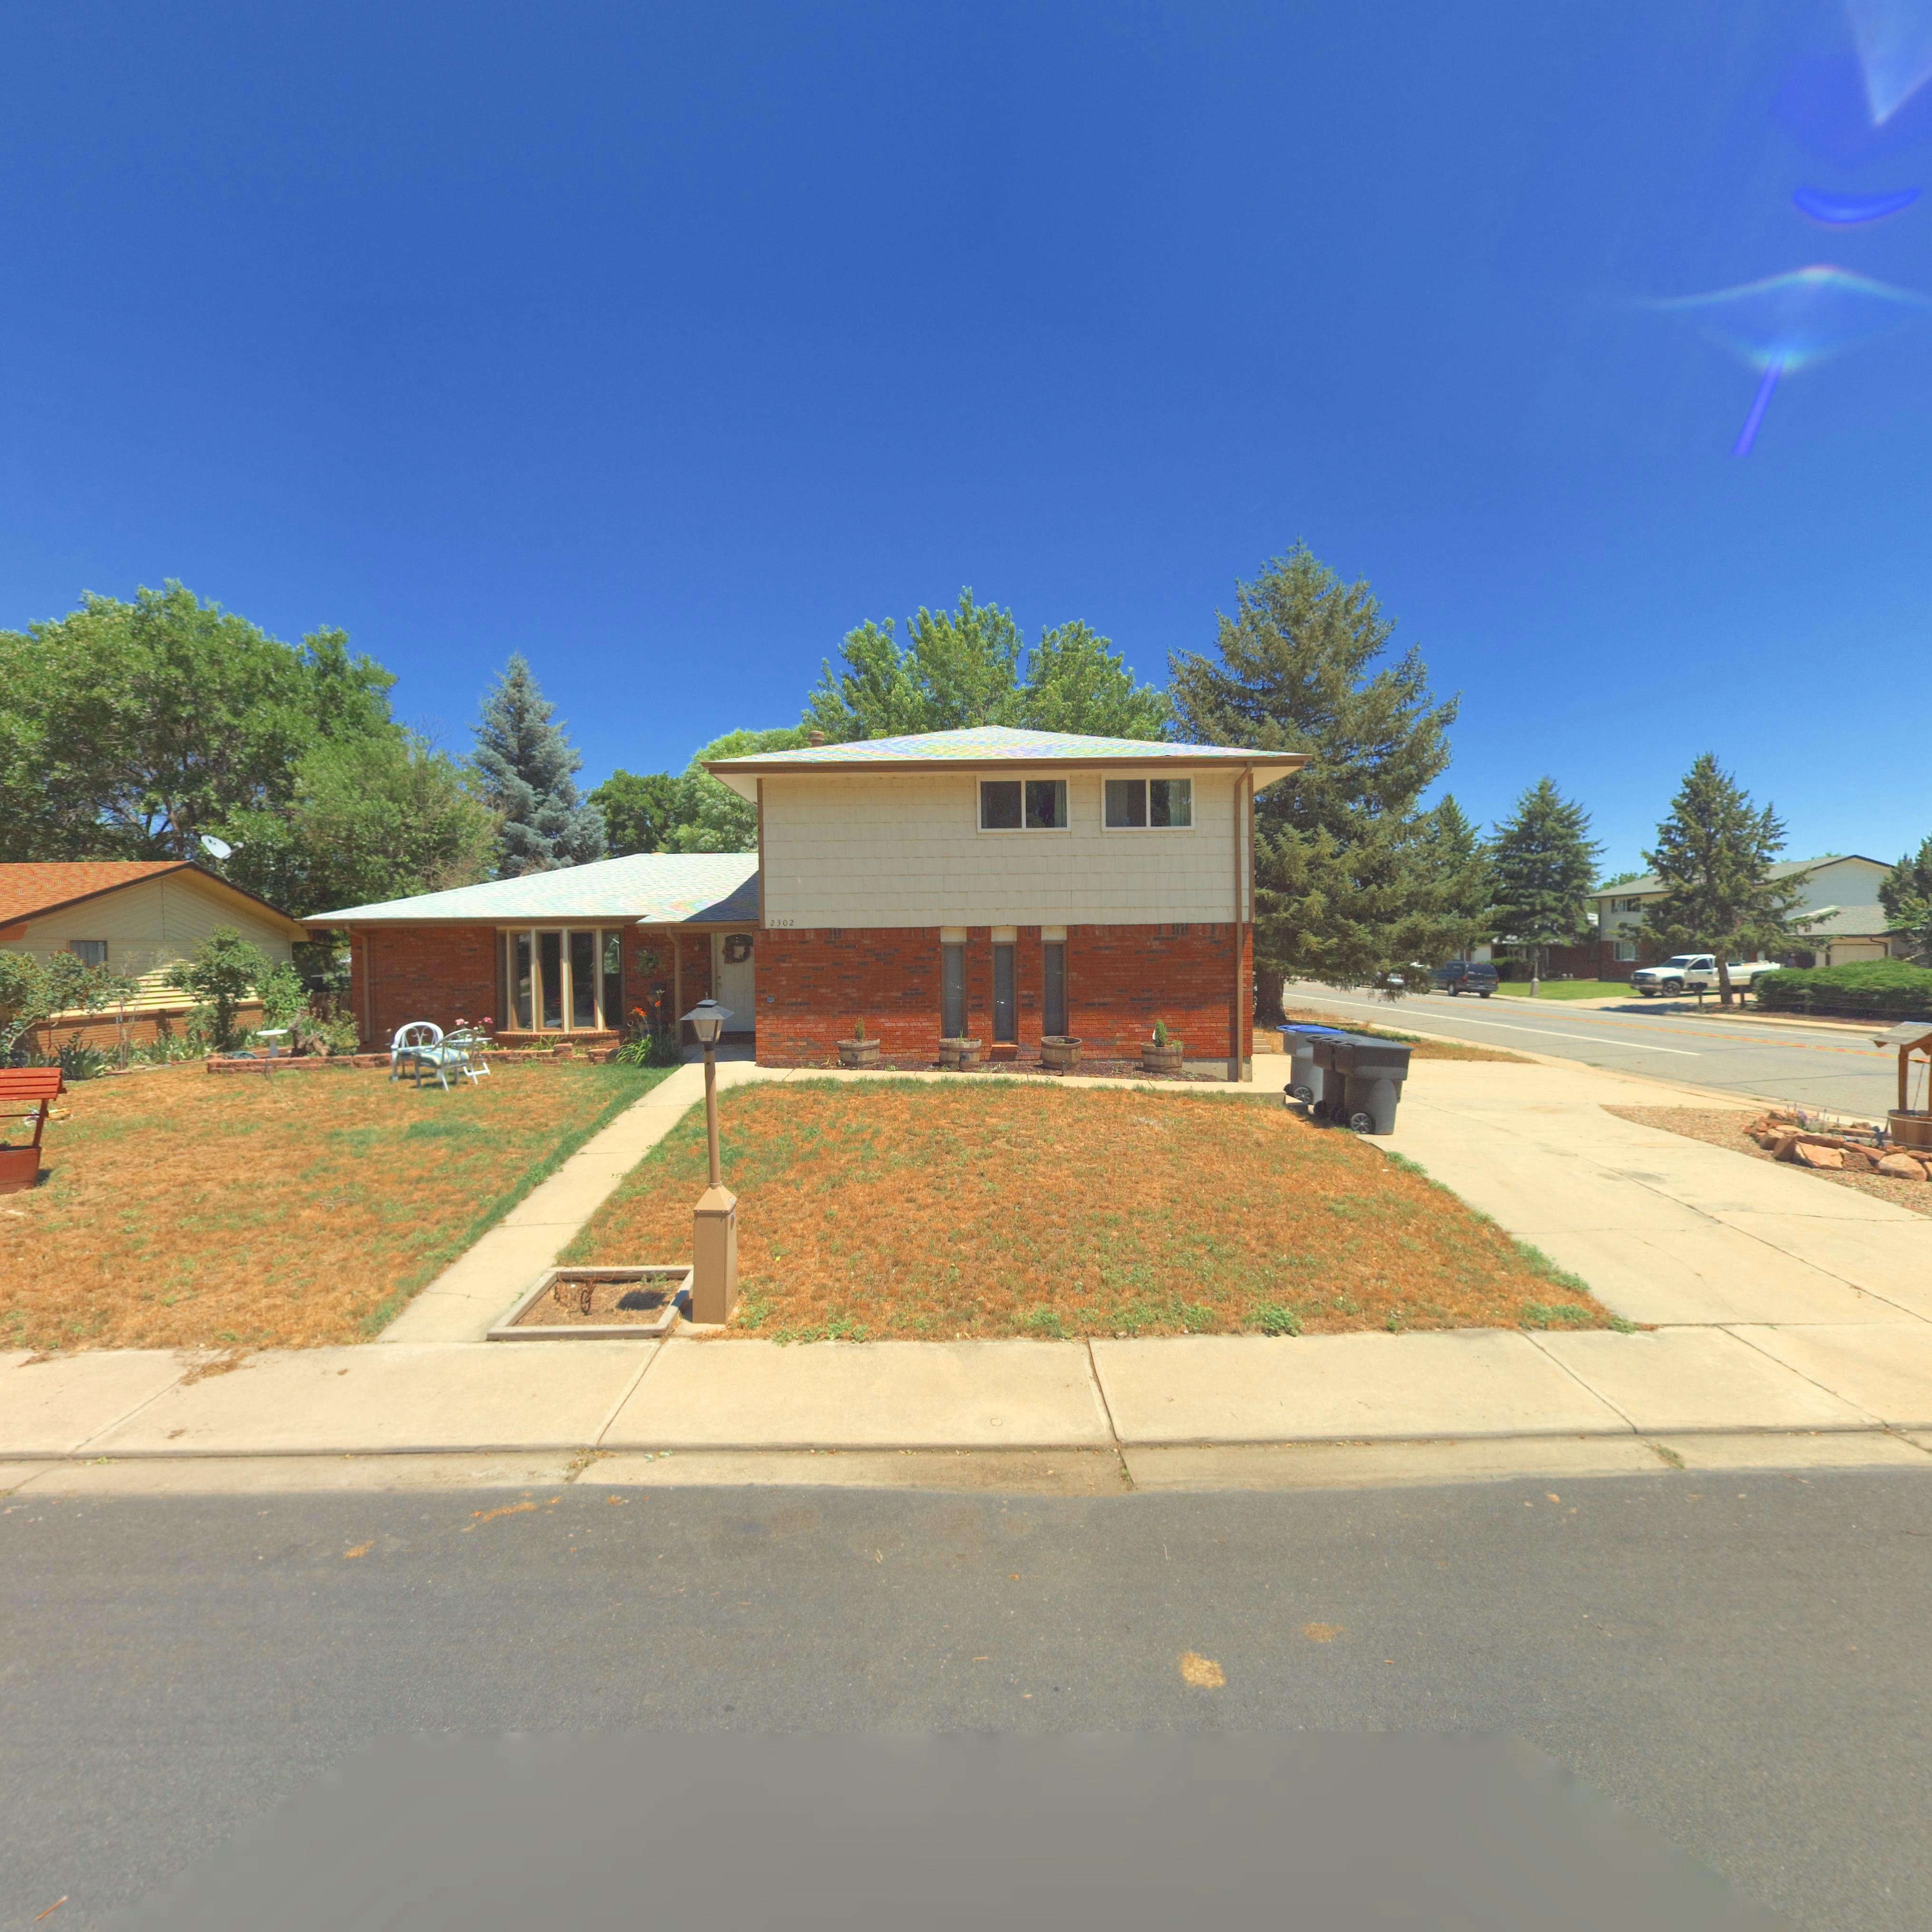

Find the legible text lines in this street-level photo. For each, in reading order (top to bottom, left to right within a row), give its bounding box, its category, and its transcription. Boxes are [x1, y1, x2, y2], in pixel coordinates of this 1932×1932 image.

[770, 918, 794, 926] StreetNumber: 2302